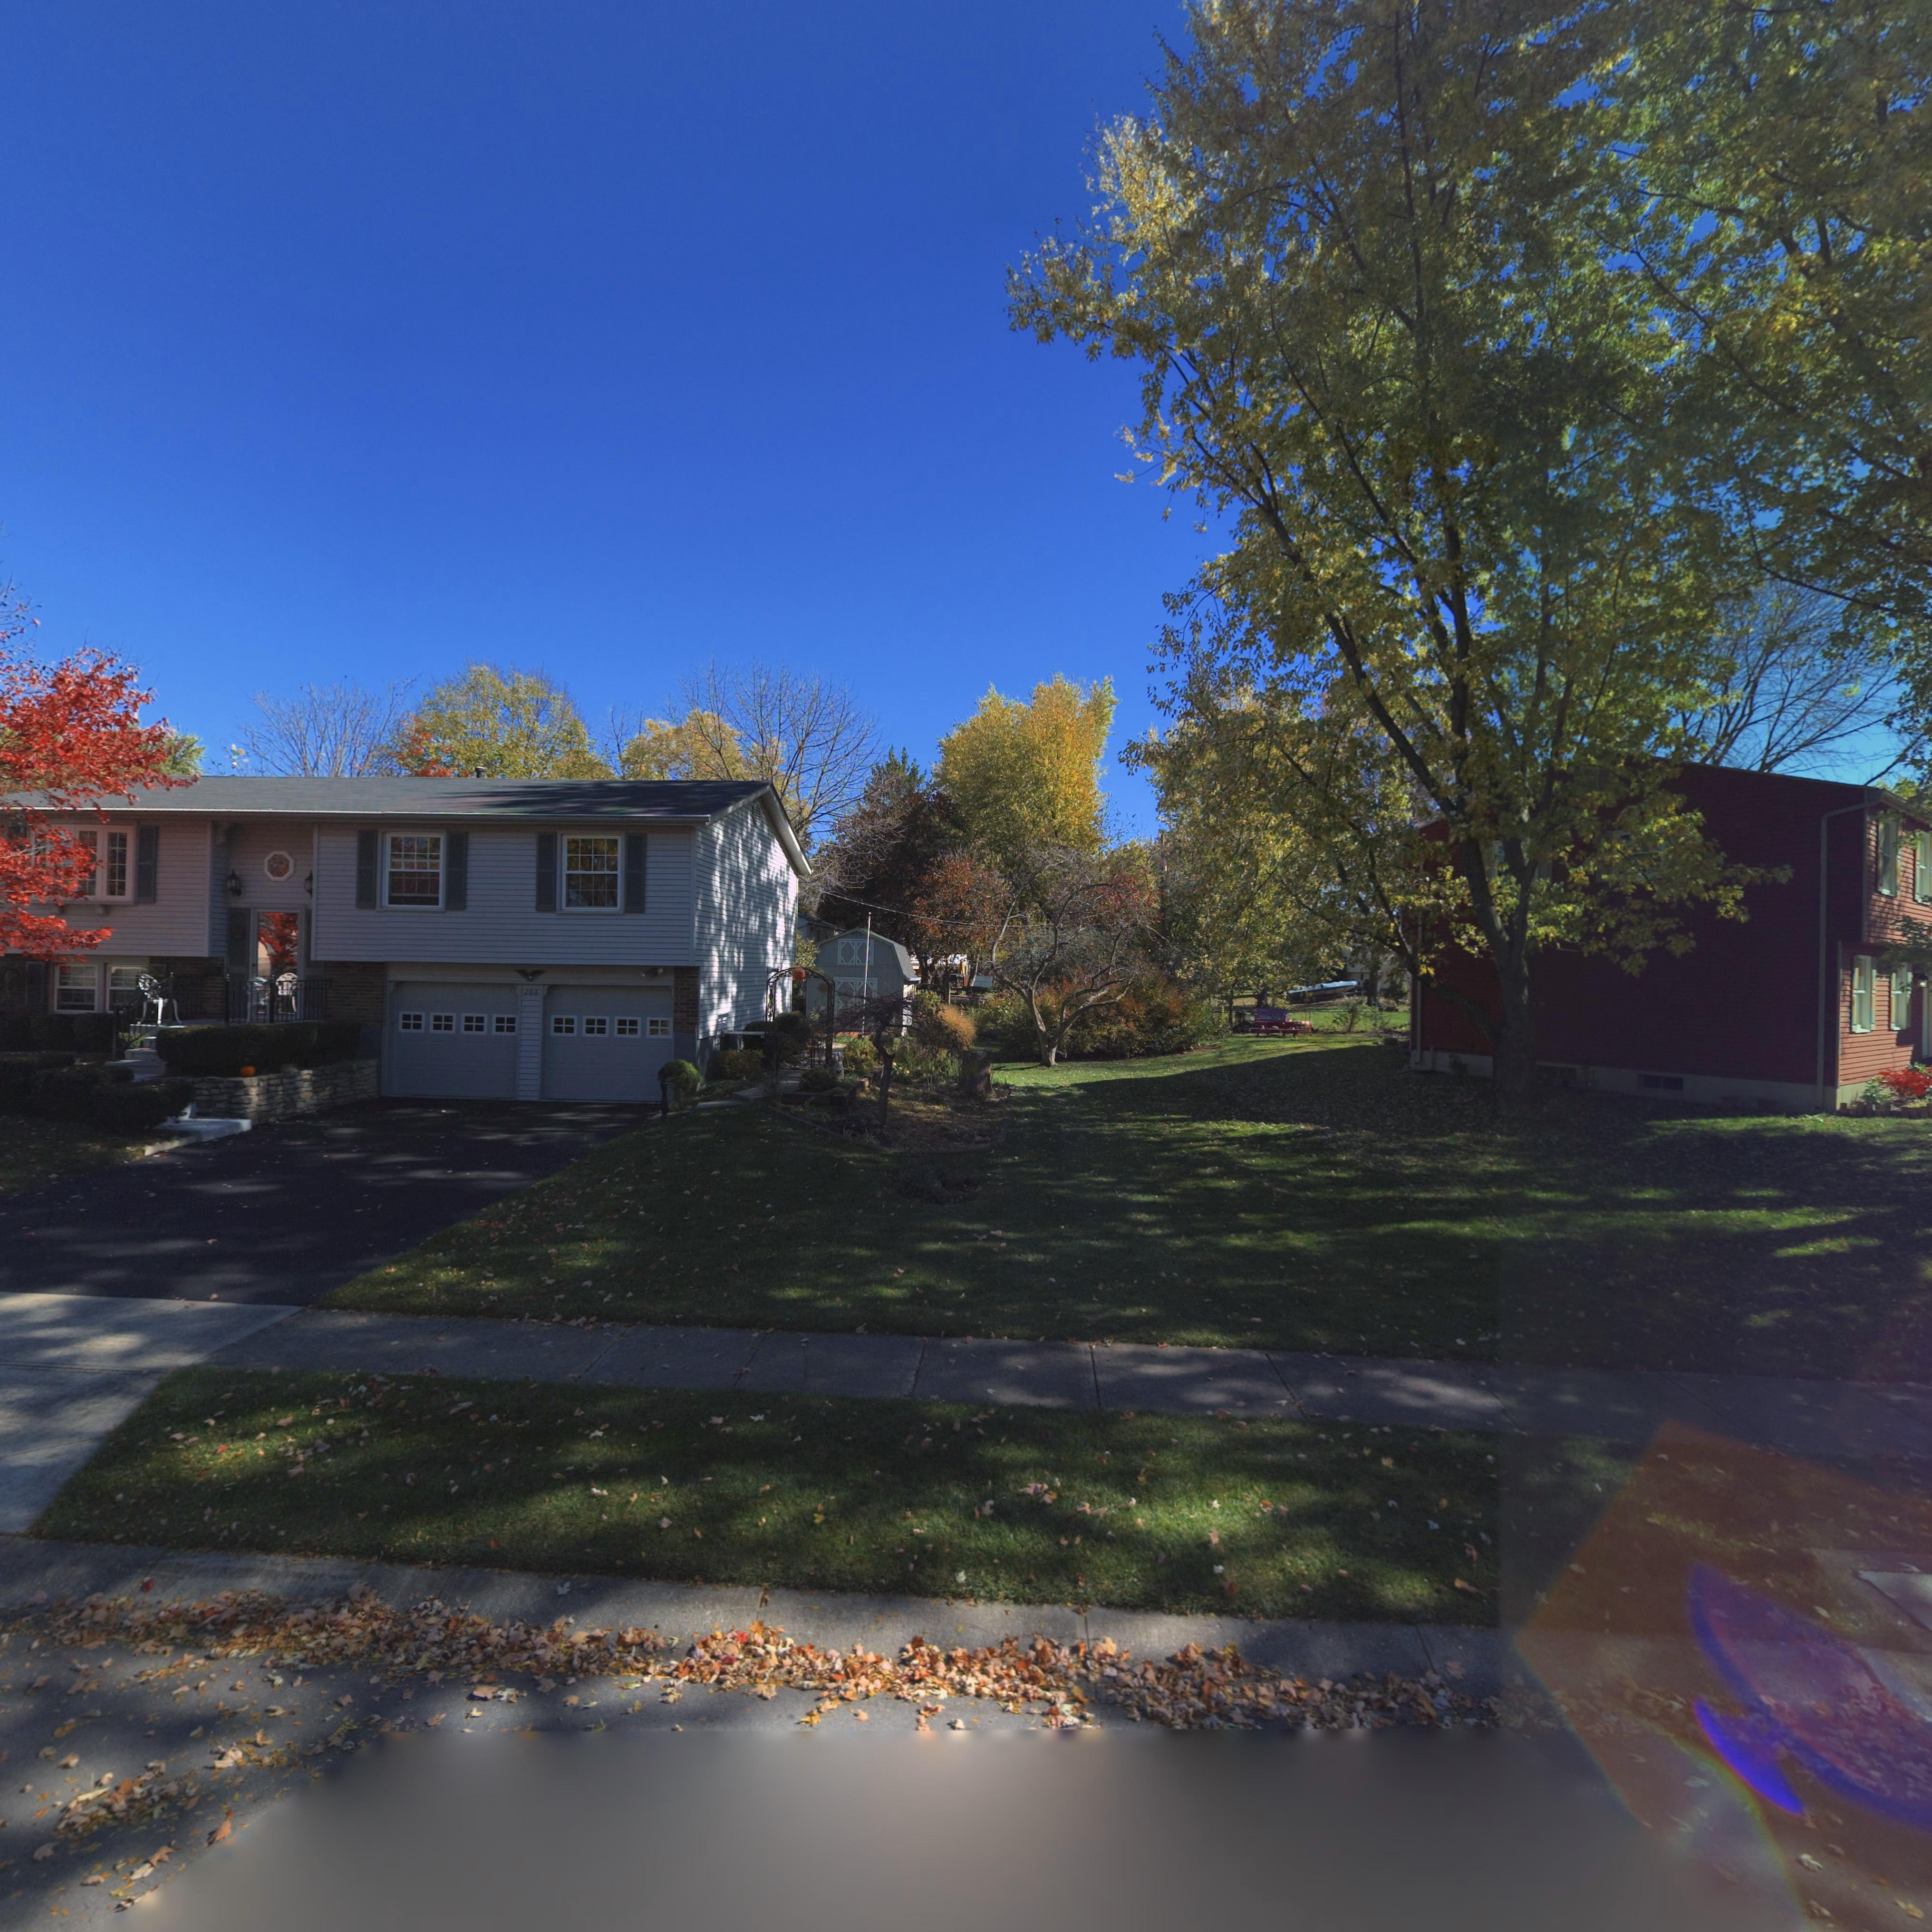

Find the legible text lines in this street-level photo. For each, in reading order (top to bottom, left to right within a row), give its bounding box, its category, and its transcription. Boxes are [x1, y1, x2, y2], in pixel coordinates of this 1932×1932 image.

[523, 988, 539, 996] StreetNumber: 206